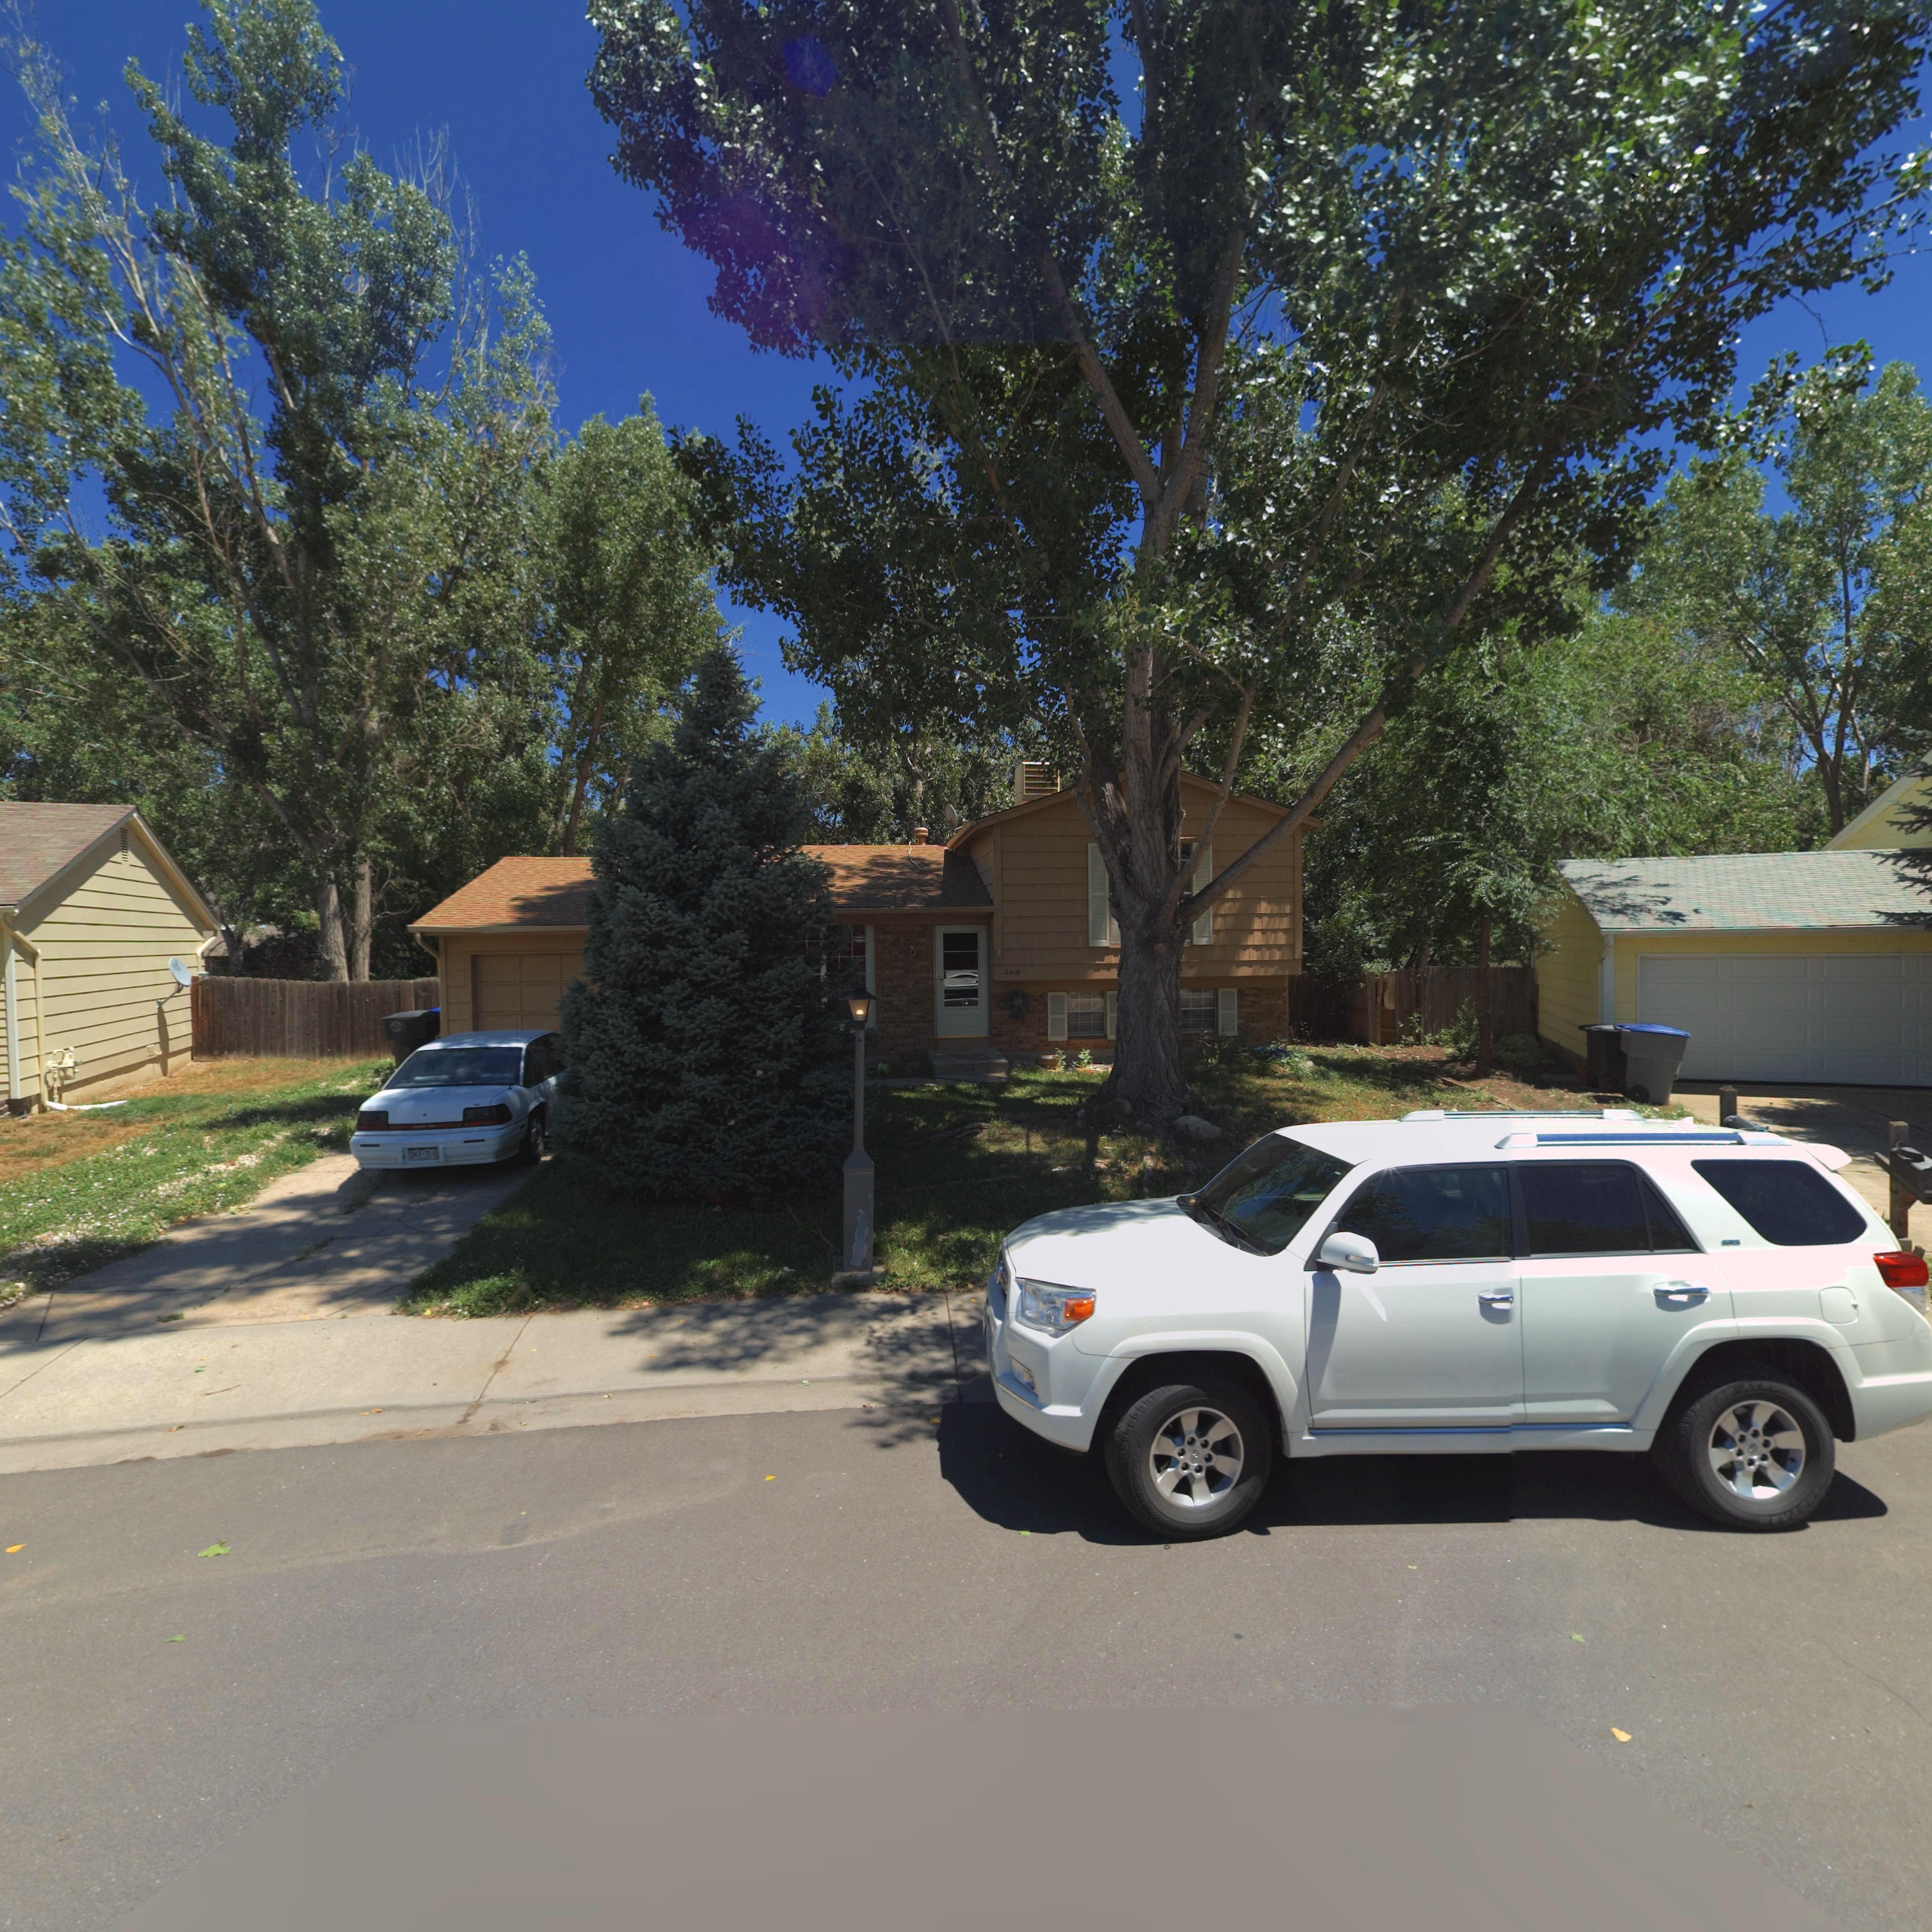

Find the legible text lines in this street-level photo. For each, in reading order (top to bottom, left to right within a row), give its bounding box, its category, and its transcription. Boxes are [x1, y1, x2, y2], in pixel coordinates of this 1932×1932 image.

[1004, 969, 1020, 976] StreetNumber: 2418